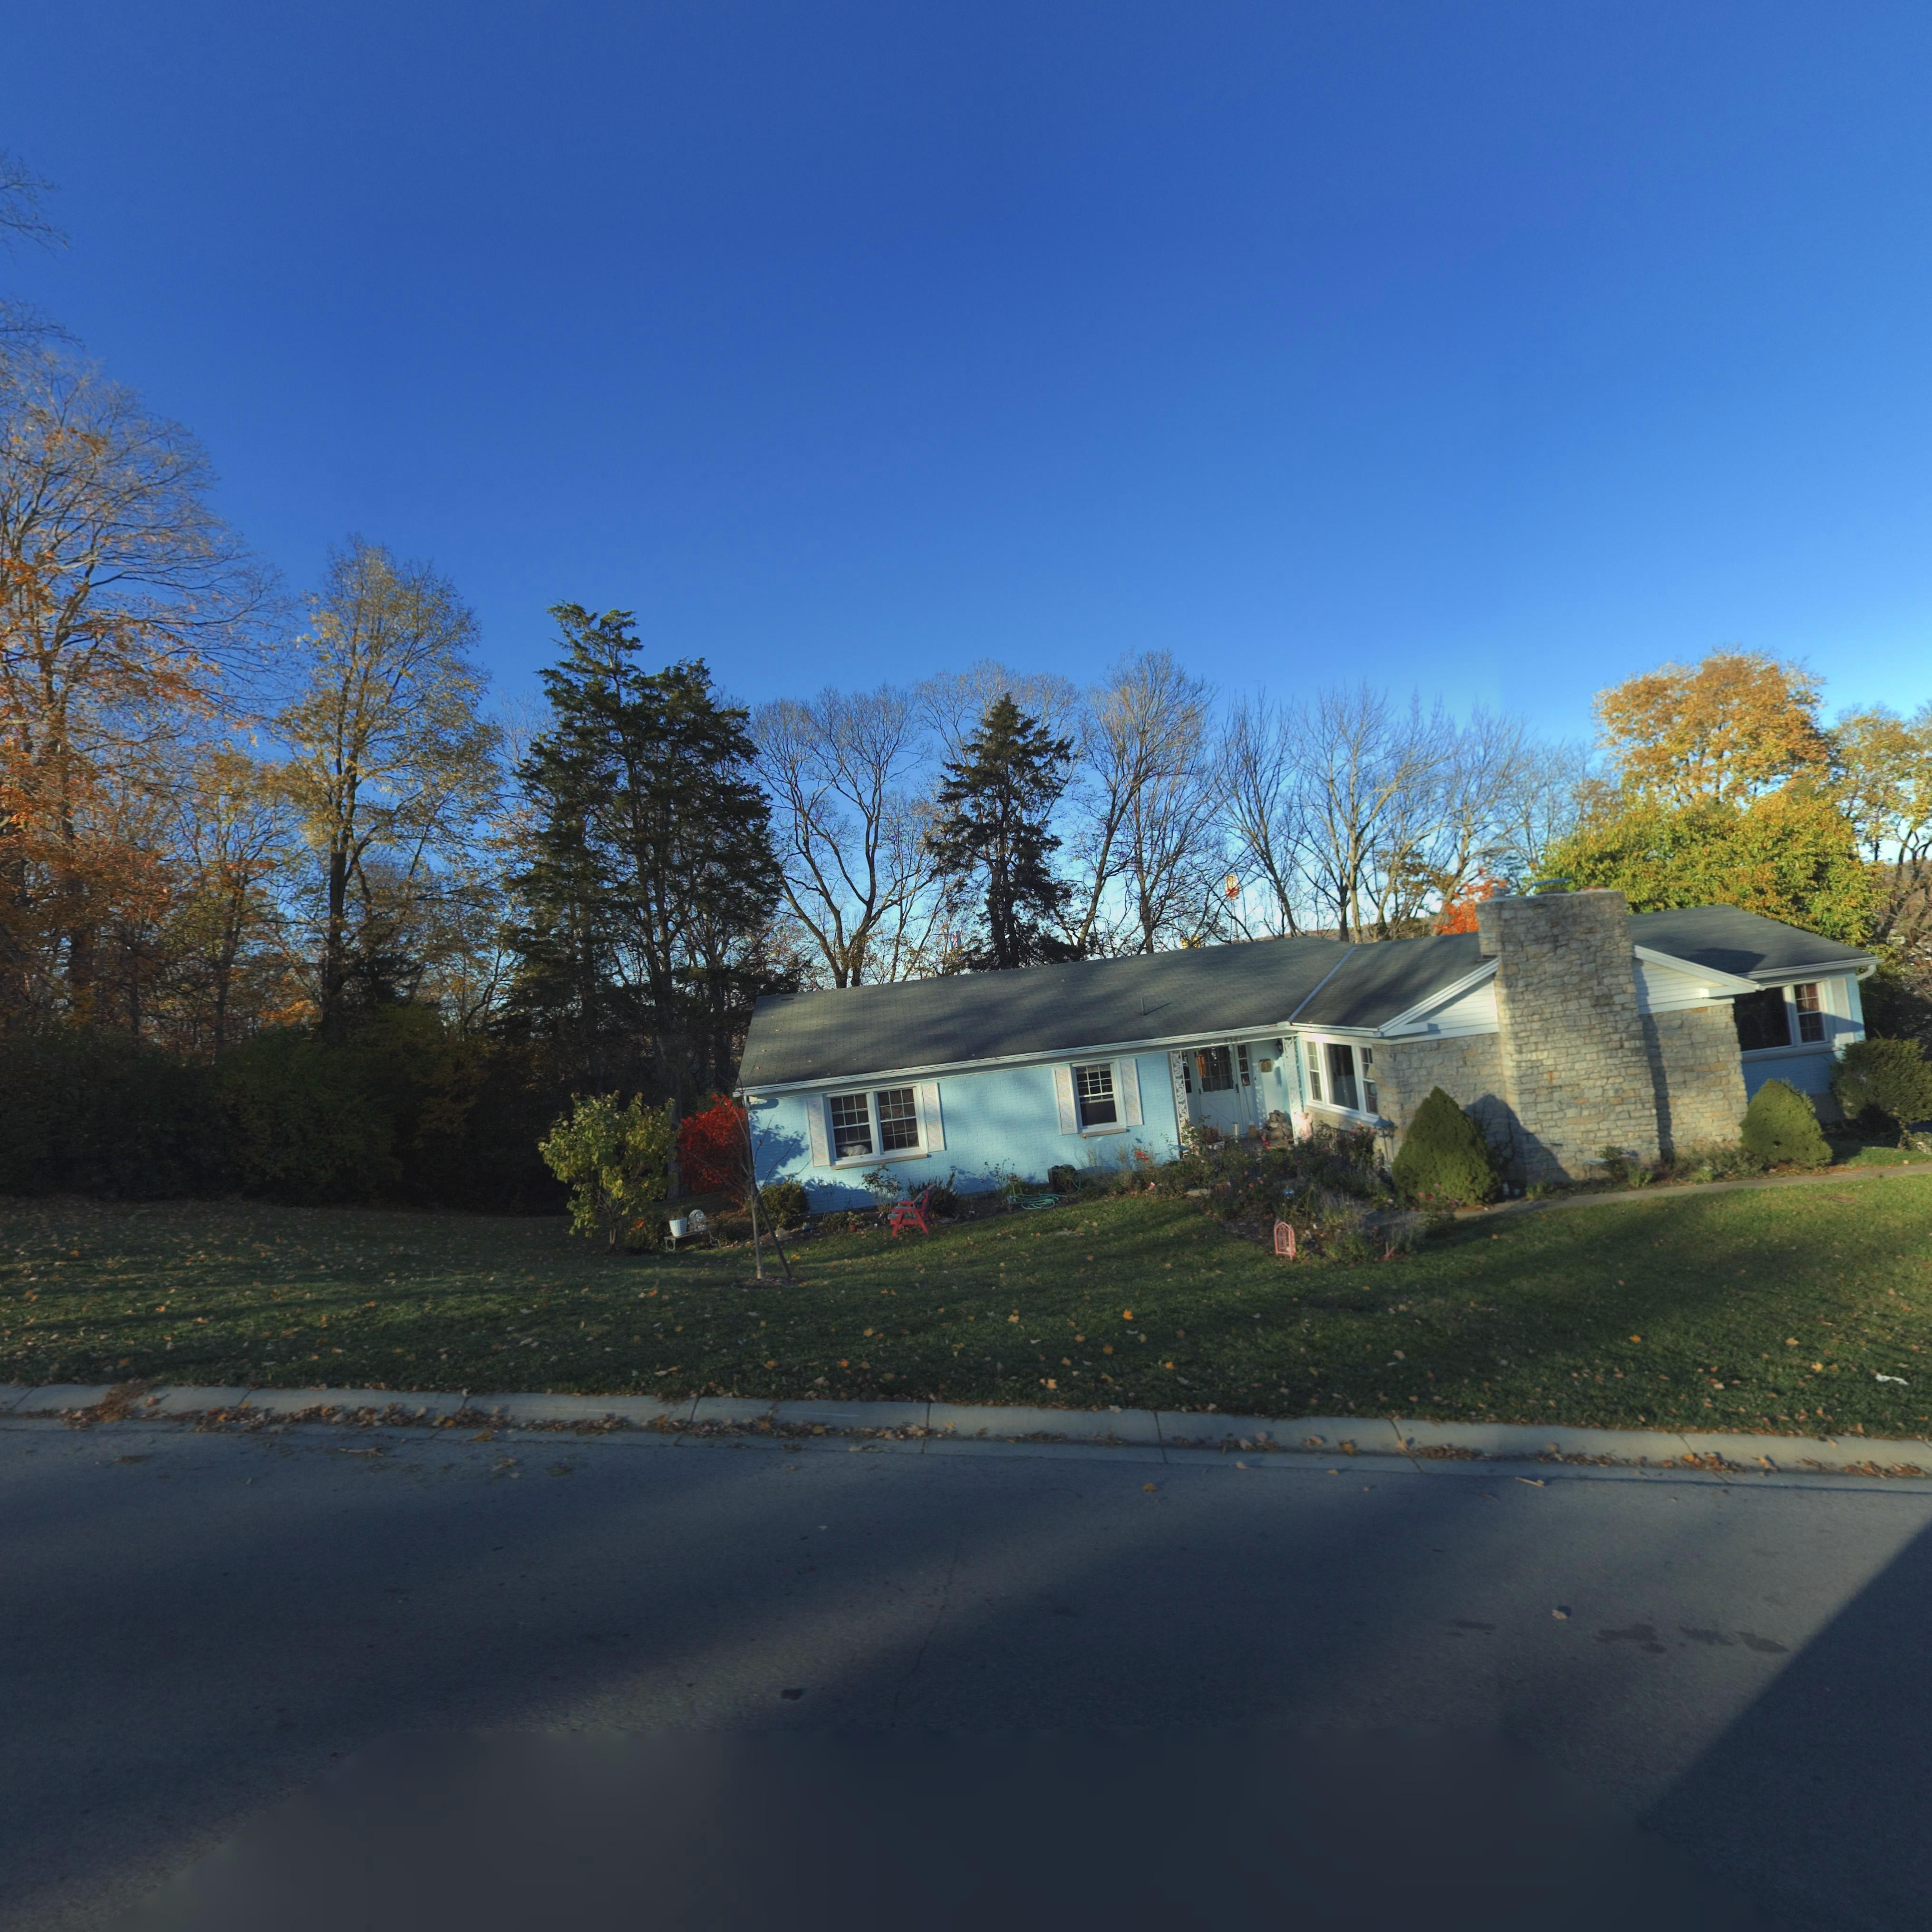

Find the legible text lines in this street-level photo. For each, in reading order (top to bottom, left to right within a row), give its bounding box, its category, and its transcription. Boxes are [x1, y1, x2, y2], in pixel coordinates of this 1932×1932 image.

[1222, 1034, 1243, 1045] StreetNumber: 536*